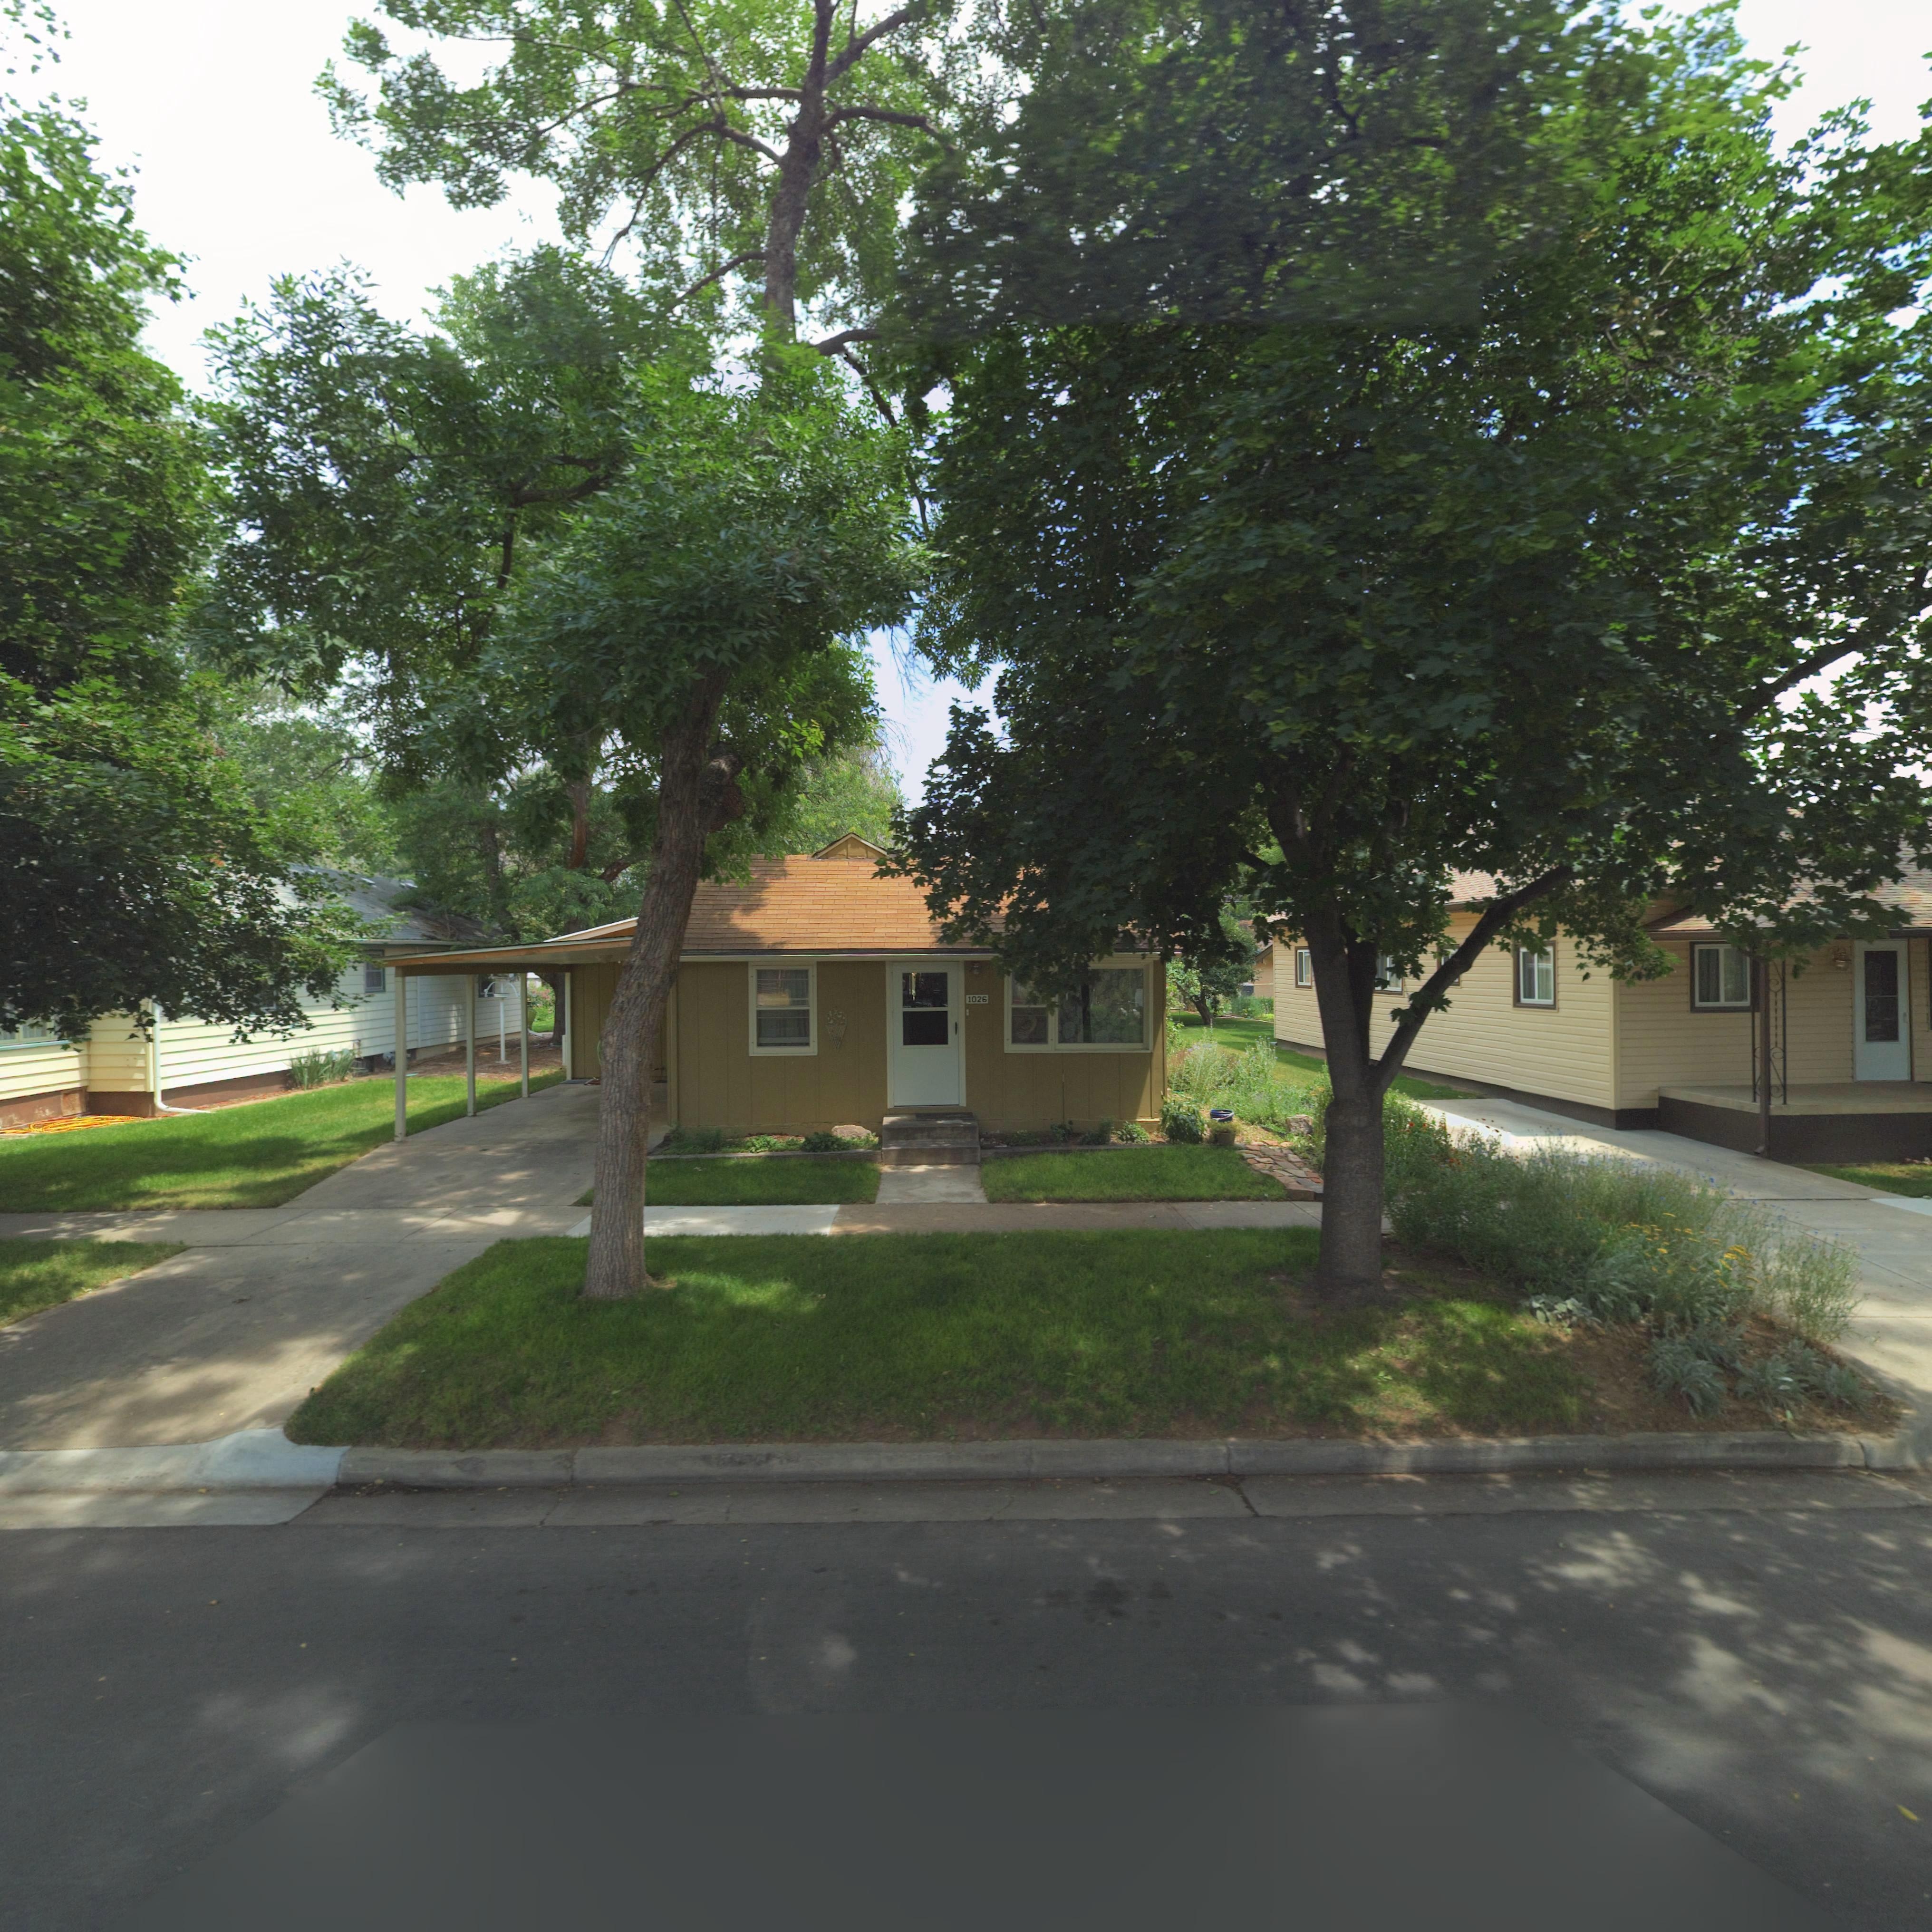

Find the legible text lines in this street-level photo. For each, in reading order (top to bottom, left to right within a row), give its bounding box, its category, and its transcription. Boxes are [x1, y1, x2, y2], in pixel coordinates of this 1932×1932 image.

[968, 995, 987, 1003] StreetNumber: 1026